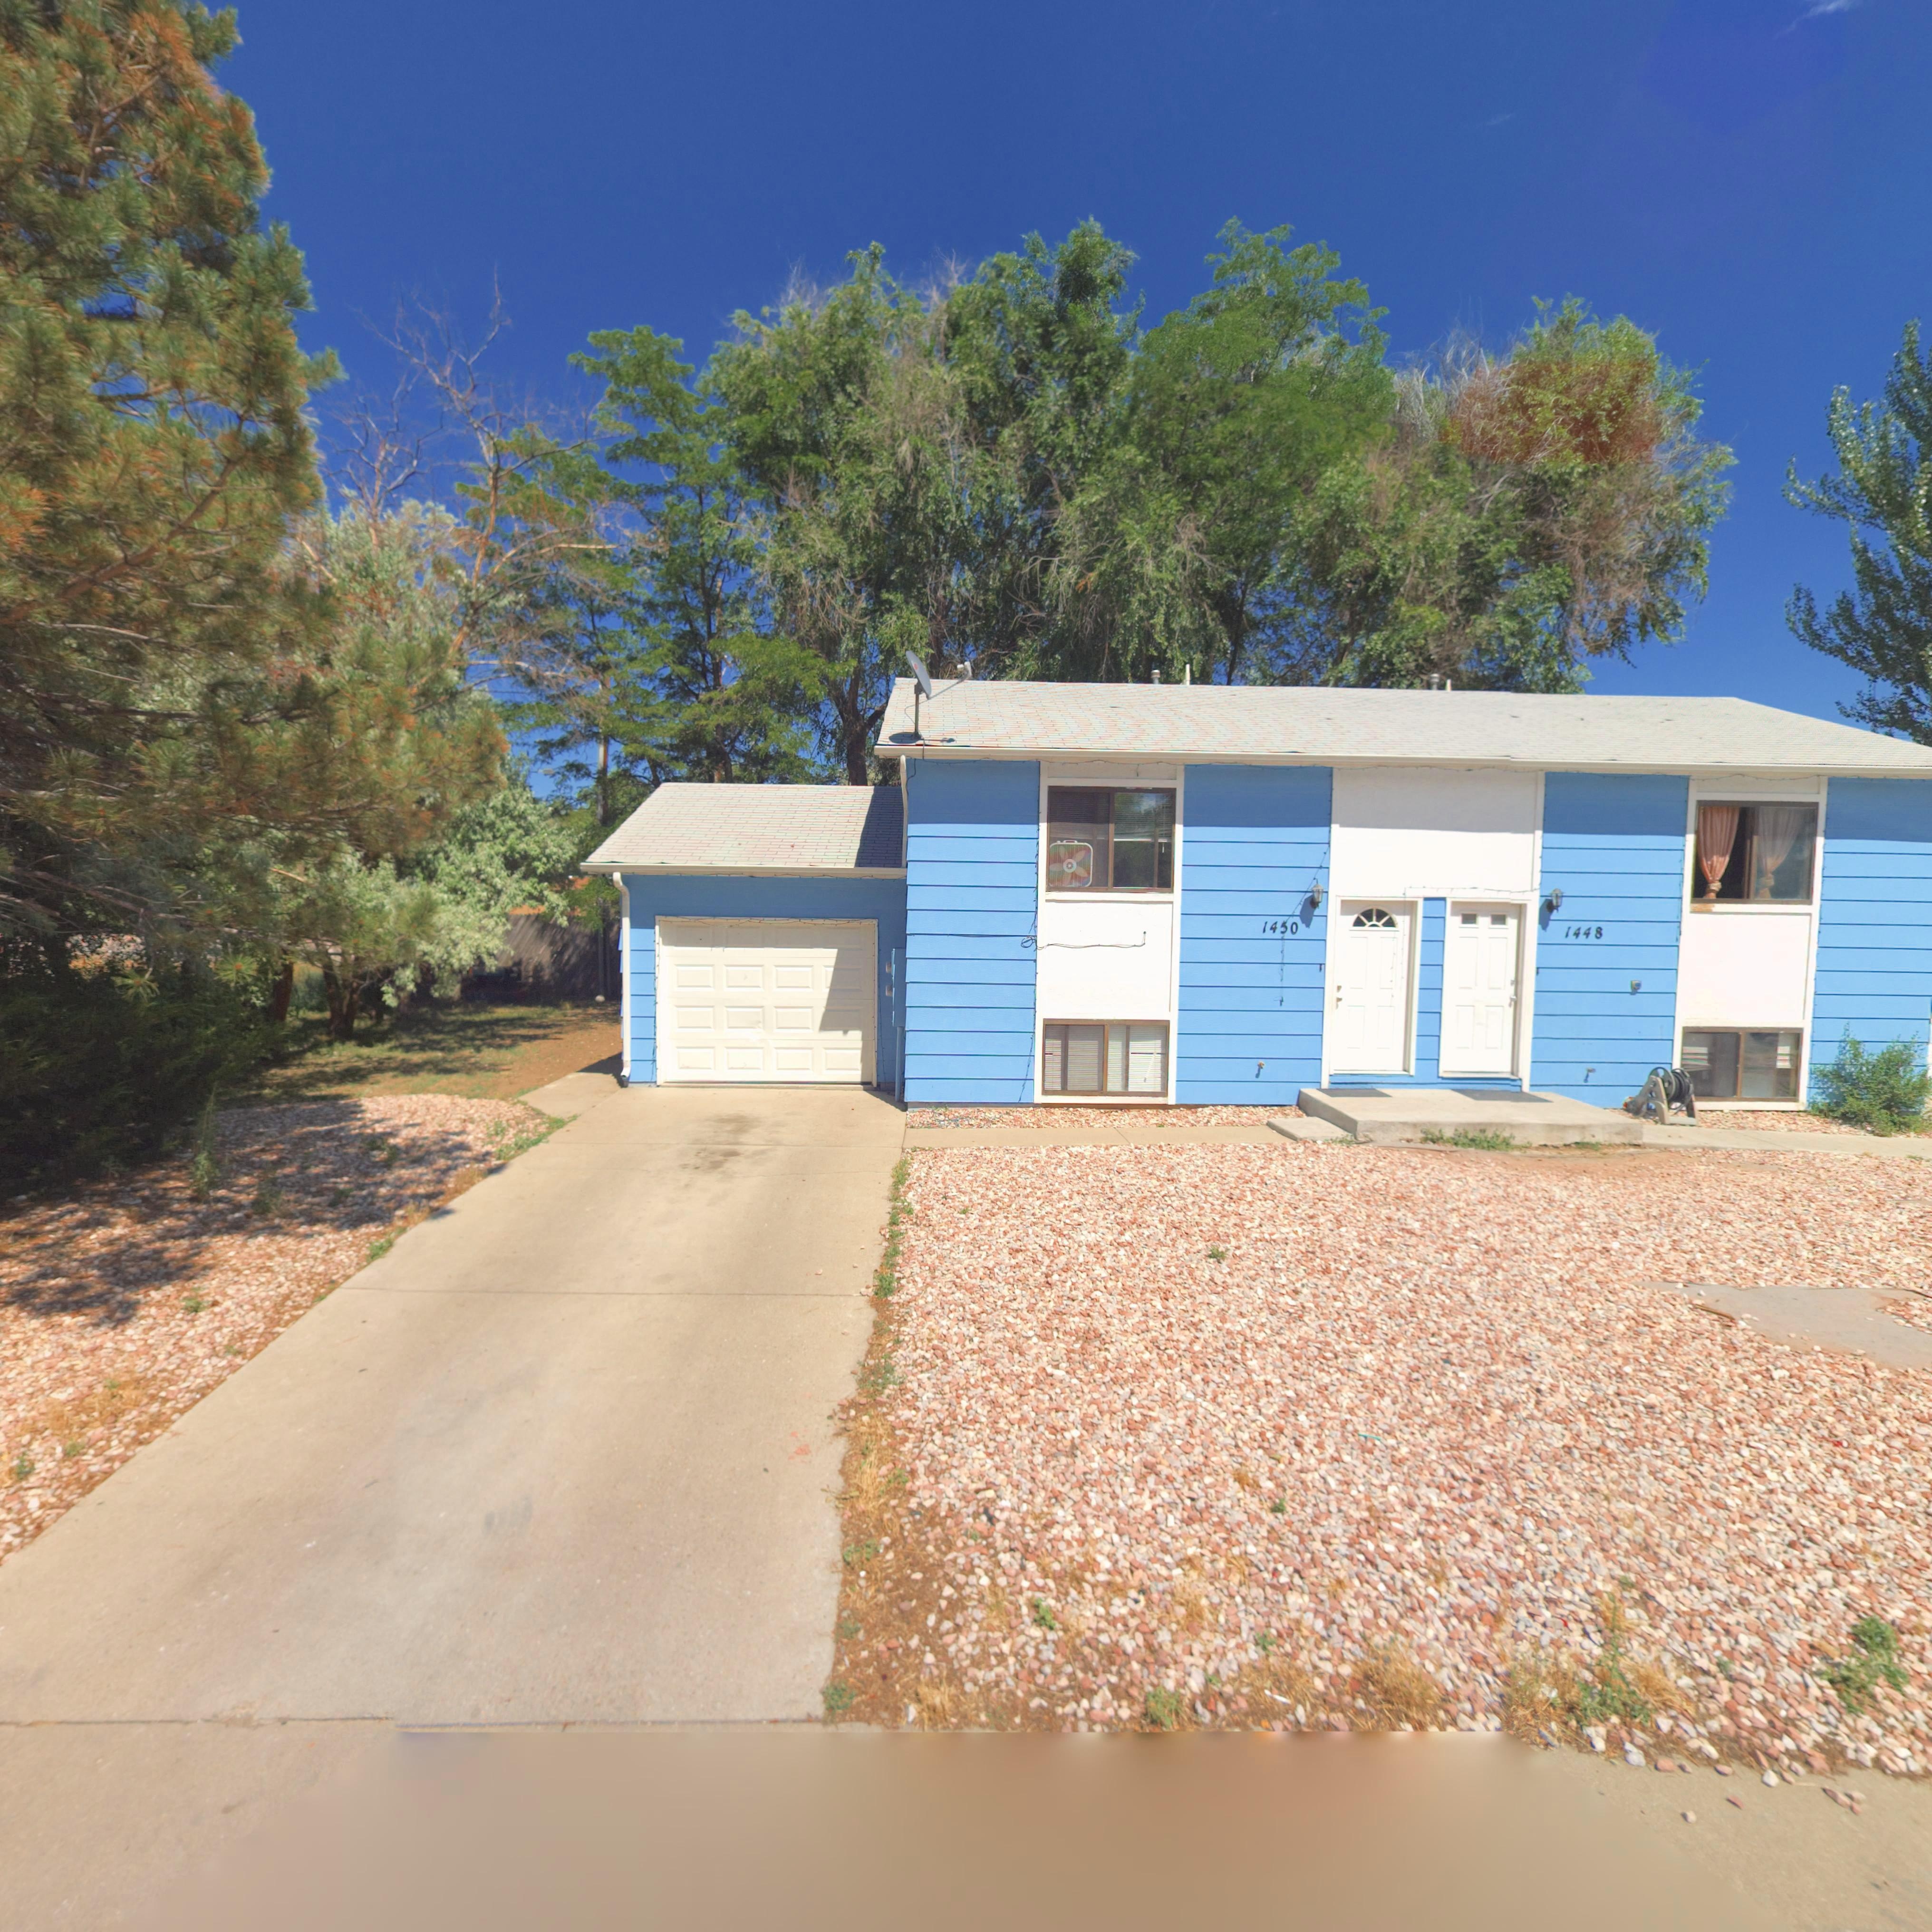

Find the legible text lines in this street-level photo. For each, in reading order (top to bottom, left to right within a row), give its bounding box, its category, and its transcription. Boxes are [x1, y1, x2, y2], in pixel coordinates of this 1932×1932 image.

[1261, 920, 1298, 935] StreetNumber: 1450
[1564, 926, 1603, 939] StreetNumber: 1448